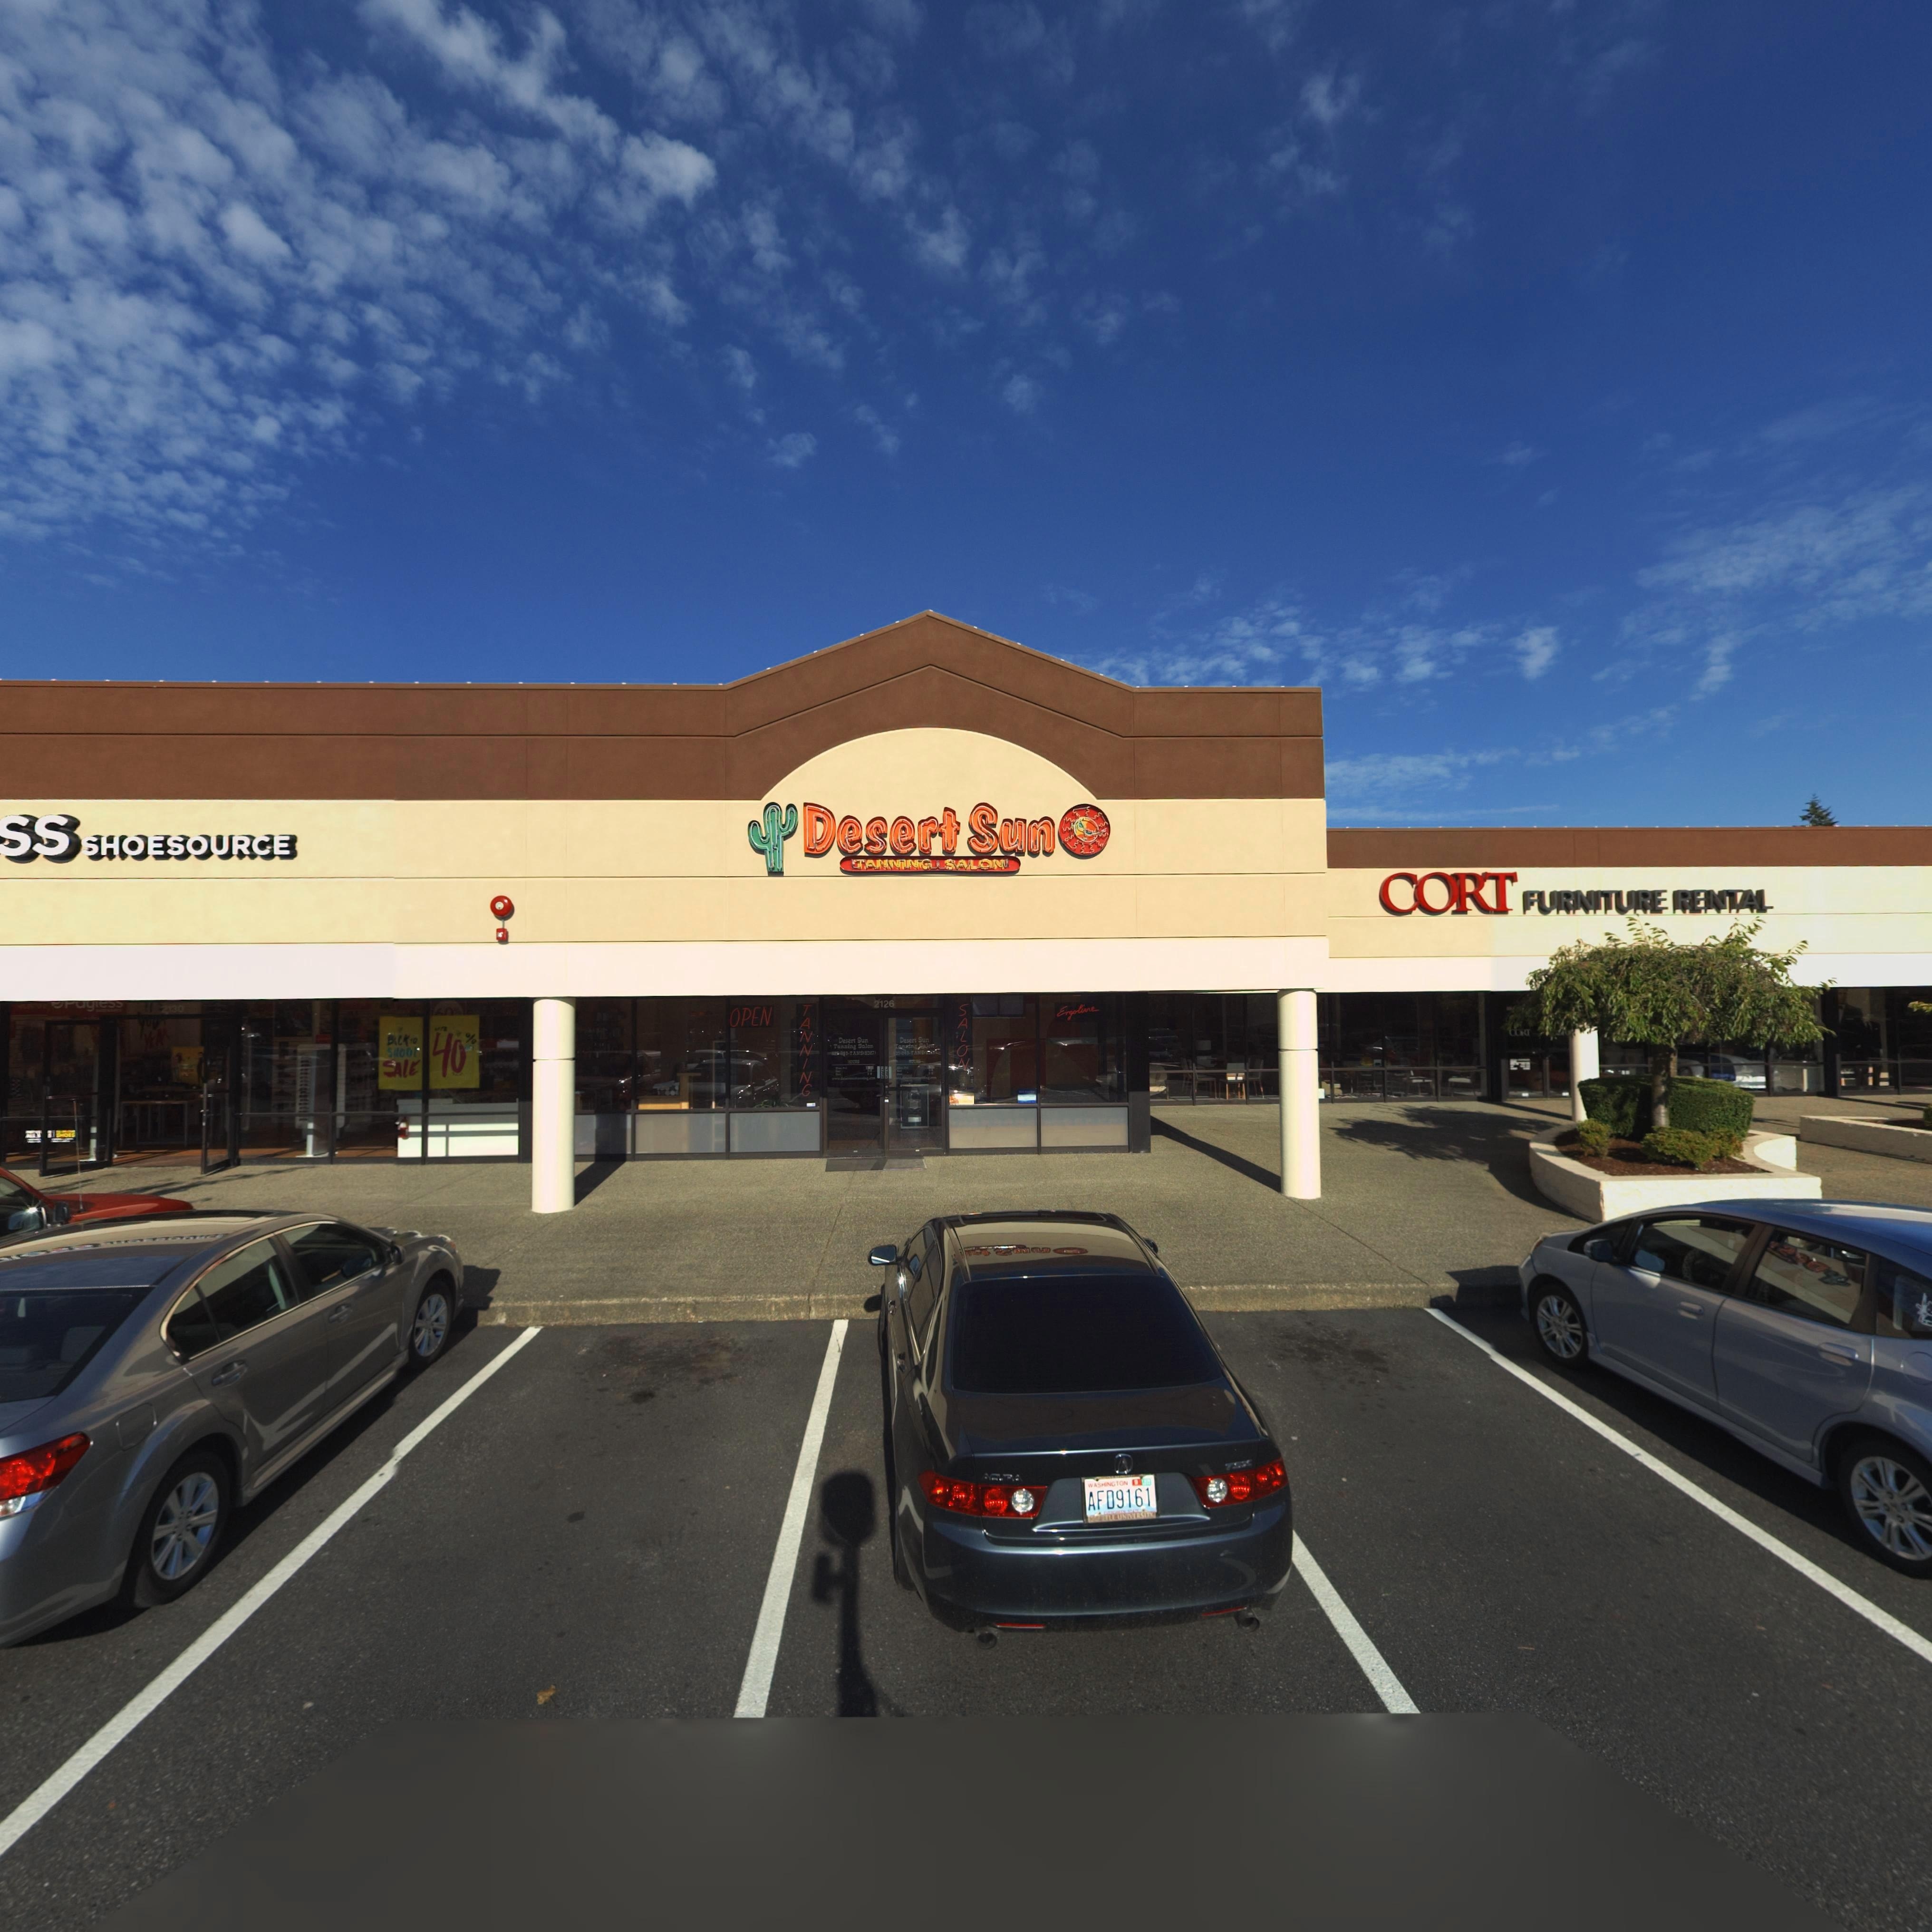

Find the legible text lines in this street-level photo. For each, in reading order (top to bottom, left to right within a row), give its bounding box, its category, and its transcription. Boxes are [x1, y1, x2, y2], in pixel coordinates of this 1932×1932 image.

[0, 815, 73, 857] BusinessName: ss
[82, 836, 289, 854] BusinessName: SHOESOURCE
[804, 801, 1054, 855] BusinessName: Desert Sun
[1378, 871, 1518, 913] BusinessName: CORT
[1525, 889, 1775, 911] BusinessName: FURNITURE RENTAL
[873, 999, 895, 1008] StreetNumber: 2126
[838, 1037, 868, 1043] BusinessName: Desert Sun
[899, 1037, 929, 1043] BusinessName: D**ert Sun